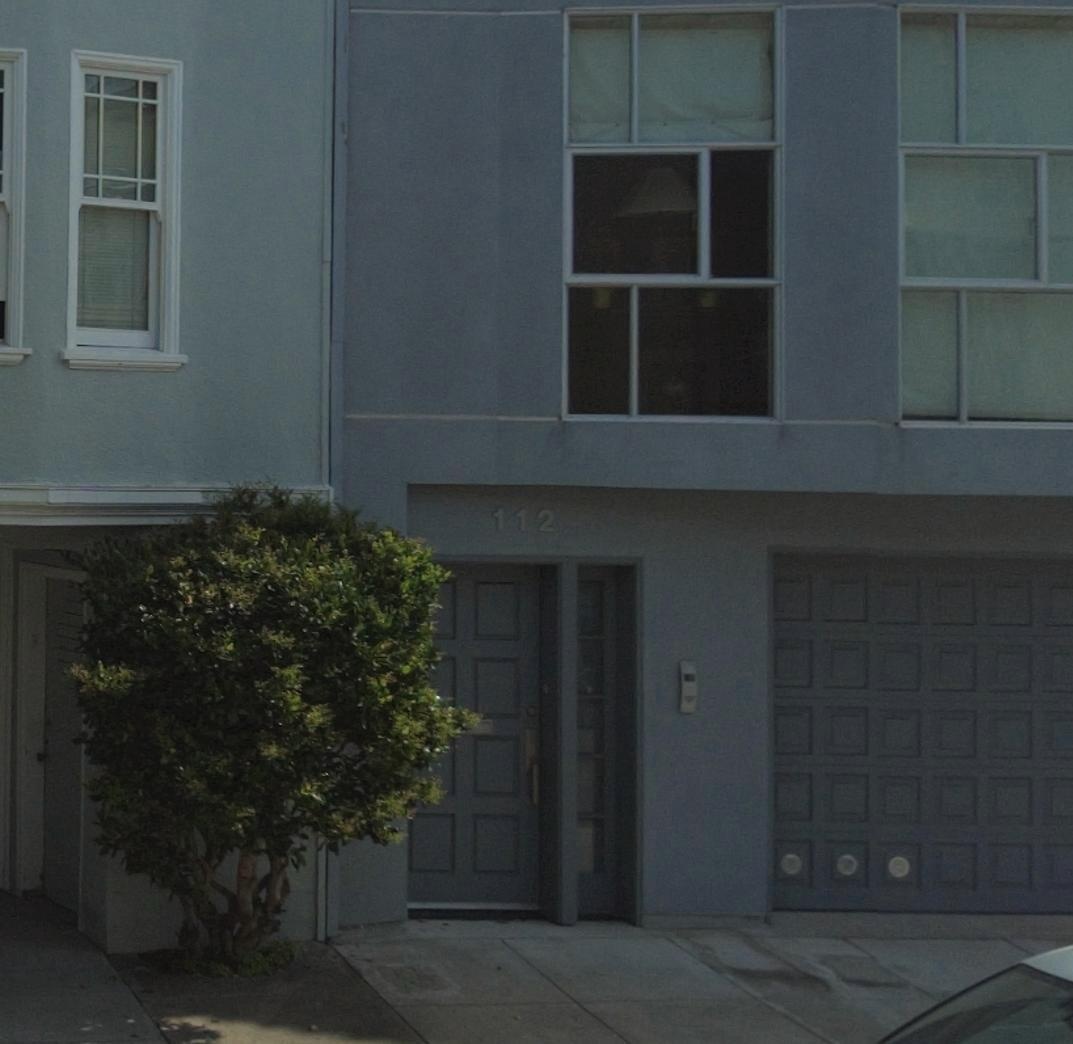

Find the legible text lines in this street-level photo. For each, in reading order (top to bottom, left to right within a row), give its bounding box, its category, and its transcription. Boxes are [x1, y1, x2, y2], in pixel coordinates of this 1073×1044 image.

[490, 506, 557, 534] StreetNumber: 112